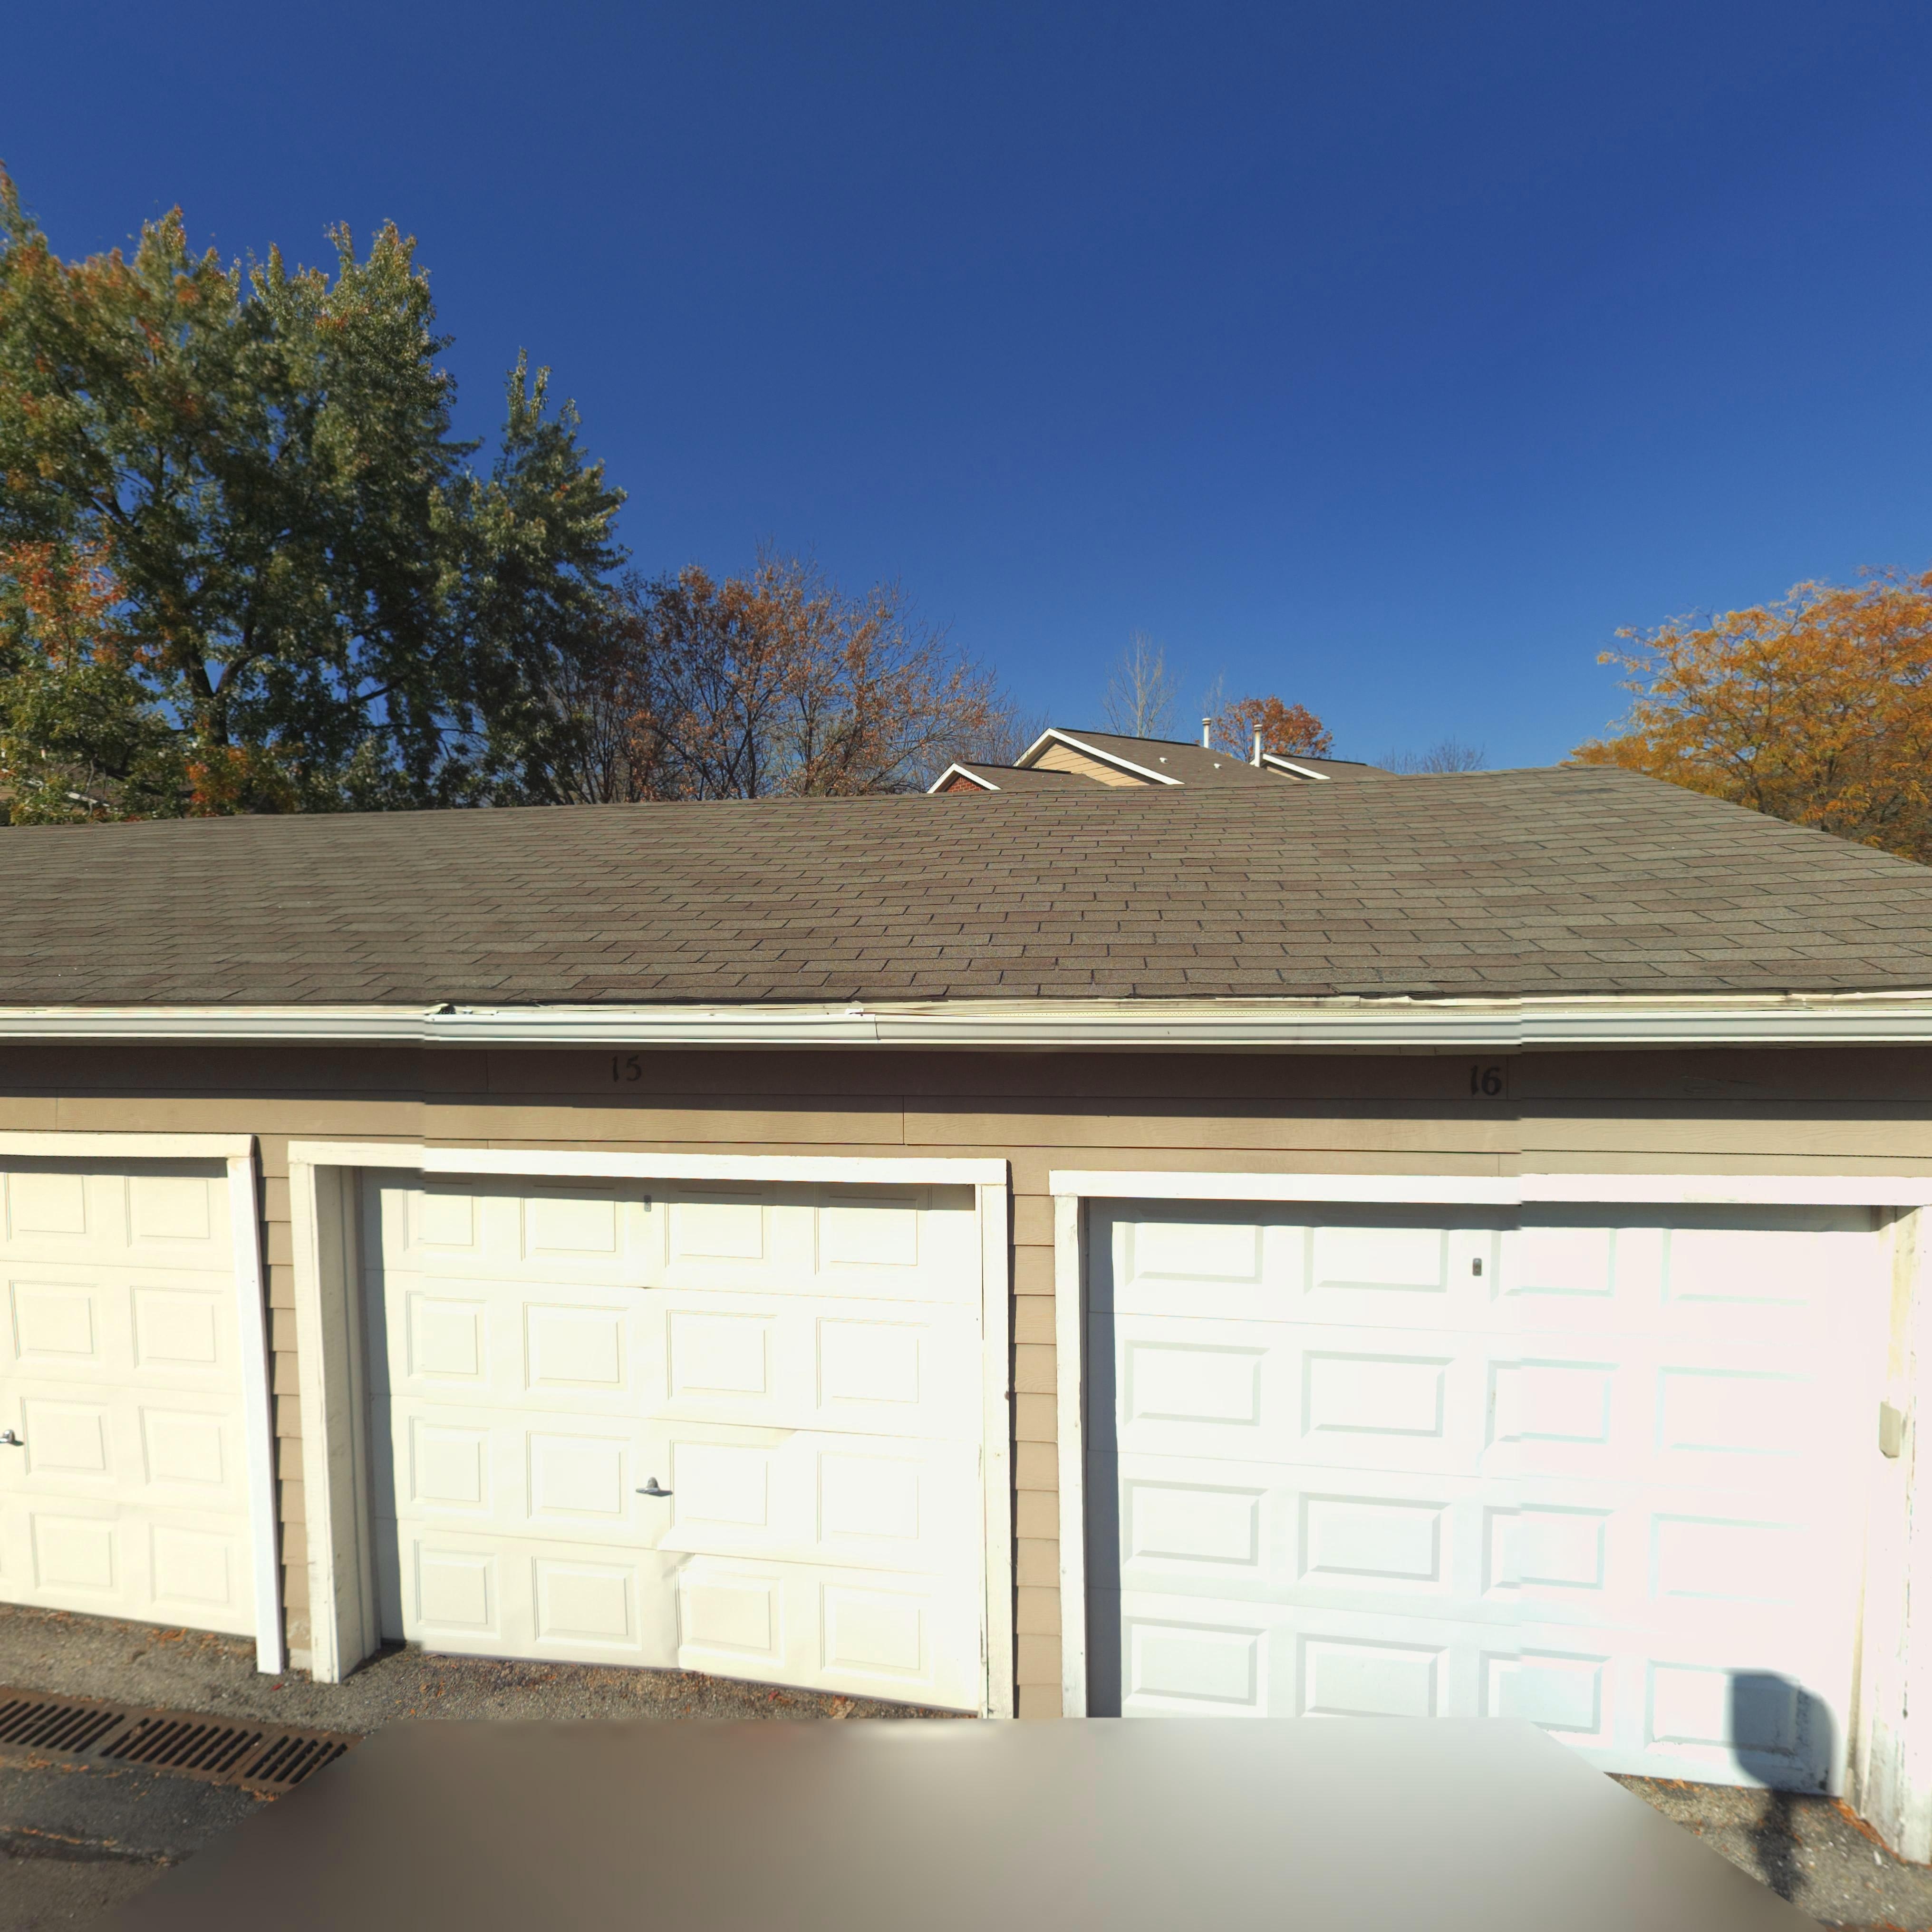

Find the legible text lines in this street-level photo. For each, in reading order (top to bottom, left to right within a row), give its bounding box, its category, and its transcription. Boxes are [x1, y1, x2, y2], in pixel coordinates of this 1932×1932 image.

[608, 1051, 646, 1086] StreetNumber: 15
[1466, 1061, 1505, 1101] StreetNumber: 16